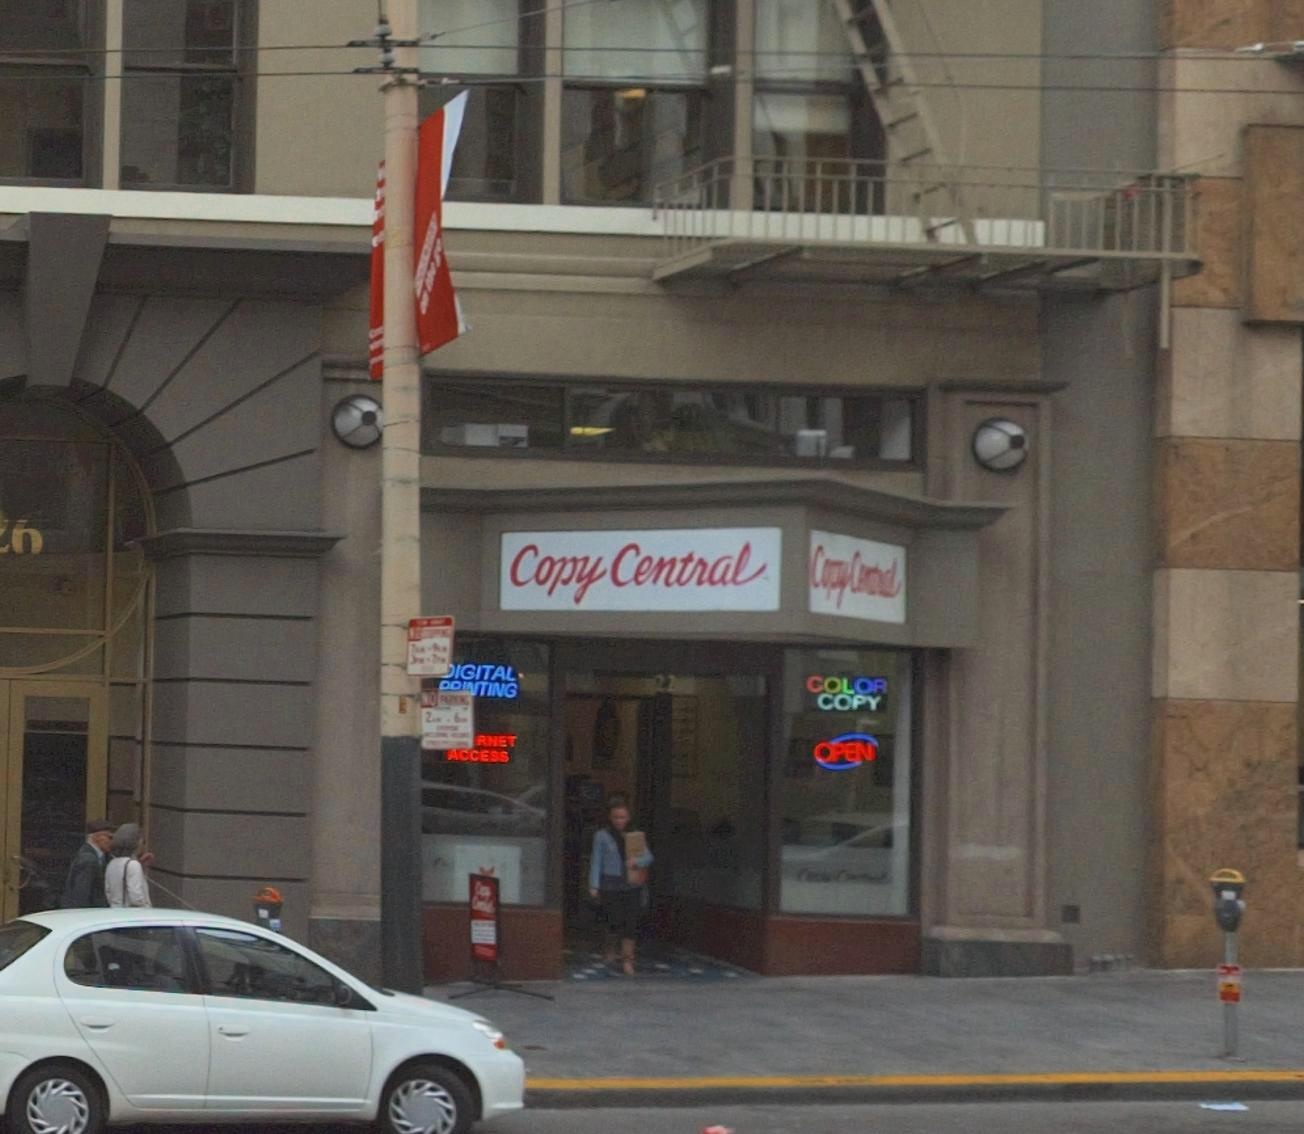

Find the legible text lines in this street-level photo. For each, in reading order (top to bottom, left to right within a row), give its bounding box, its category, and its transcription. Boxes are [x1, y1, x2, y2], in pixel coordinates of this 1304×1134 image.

[6, 501, 46, 559] StreetNumber: 6
[506, 539, 768, 607] BusinessName: Copy Central
[807, 540, 854, 613] BusinessName: Copy
[419, 689, 439, 710] None: NO
[451, 661, 520, 683] None: IGITAL
[474, 679, 523, 701] None: TING
[651, 671, 680, 694] StreetNumber: 22
[803, 673, 890, 696] None: COLOR
[815, 691, 885, 713] None: COPY
[423, 709, 435, 726] None: 2
[452, 710, 462, 725] None: 6
[473, 730, 519, 749] None: RNET
[441, 745, 514, 766] None: ACCESS
[809, 737, 879, 765] None: OPEN